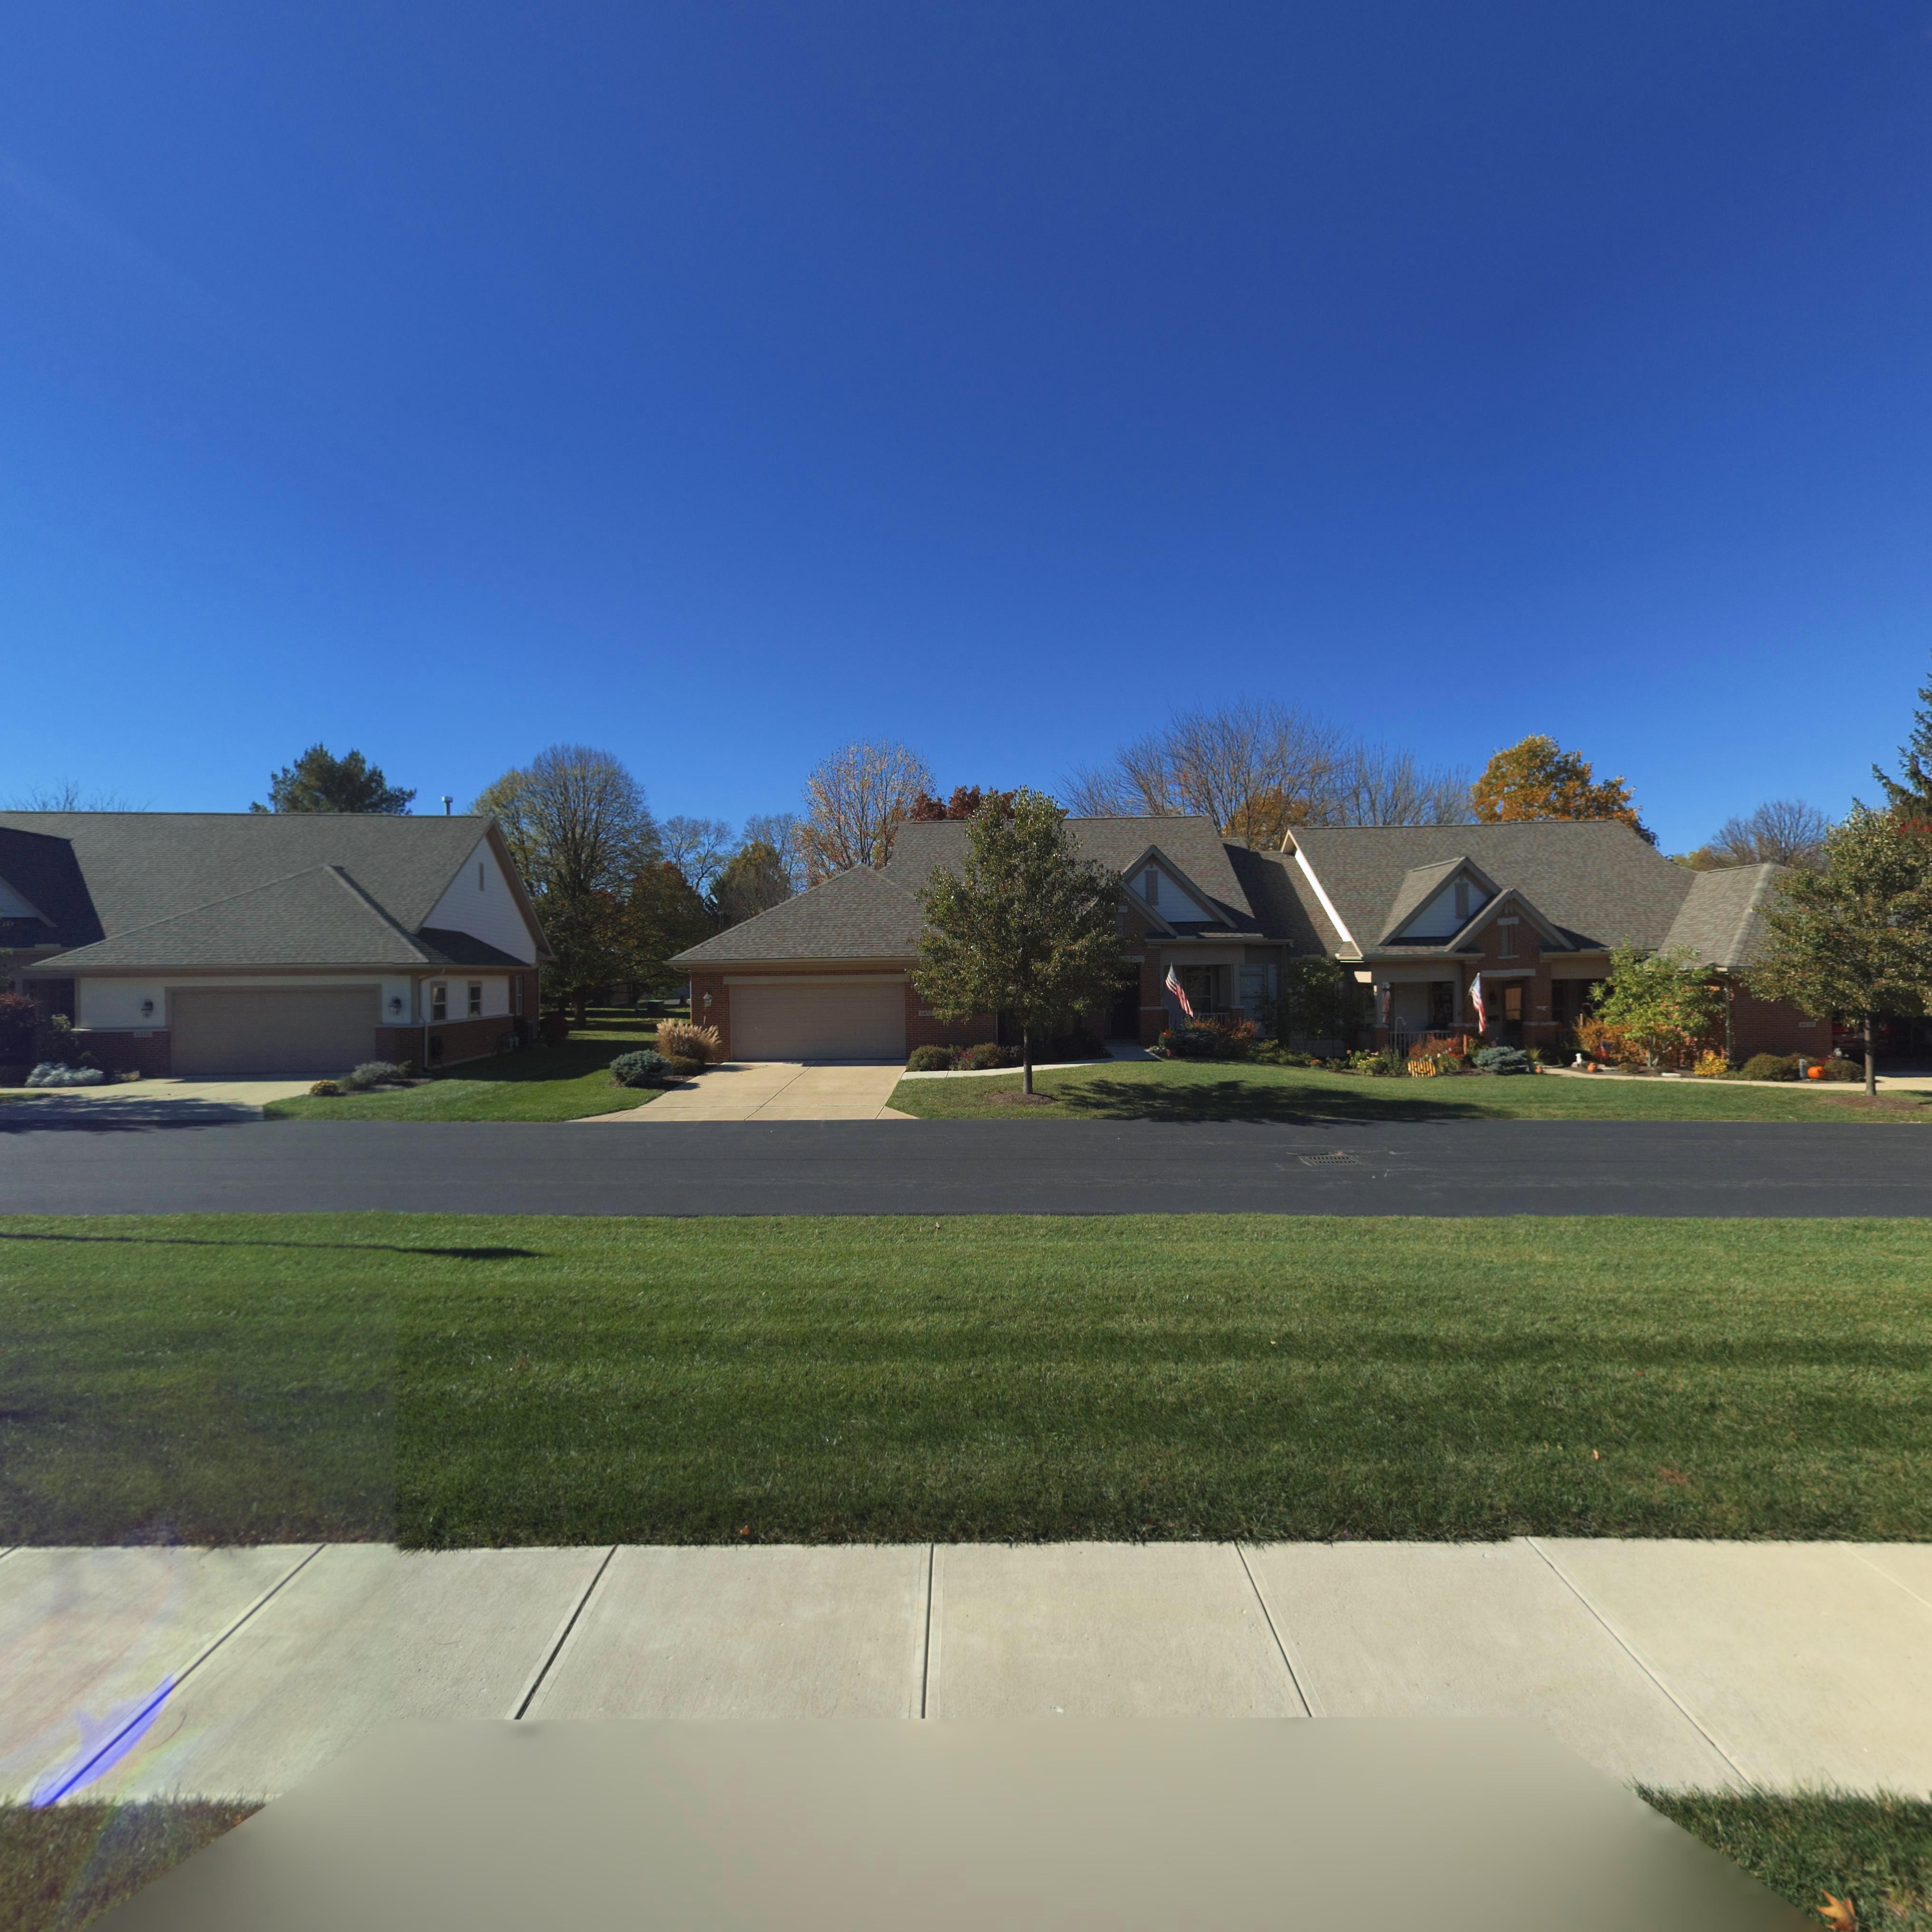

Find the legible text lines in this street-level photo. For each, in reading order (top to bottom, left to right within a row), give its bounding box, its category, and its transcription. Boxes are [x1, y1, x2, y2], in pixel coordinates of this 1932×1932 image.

[919, 1011, 933, 1016] StreetNumber: 6432